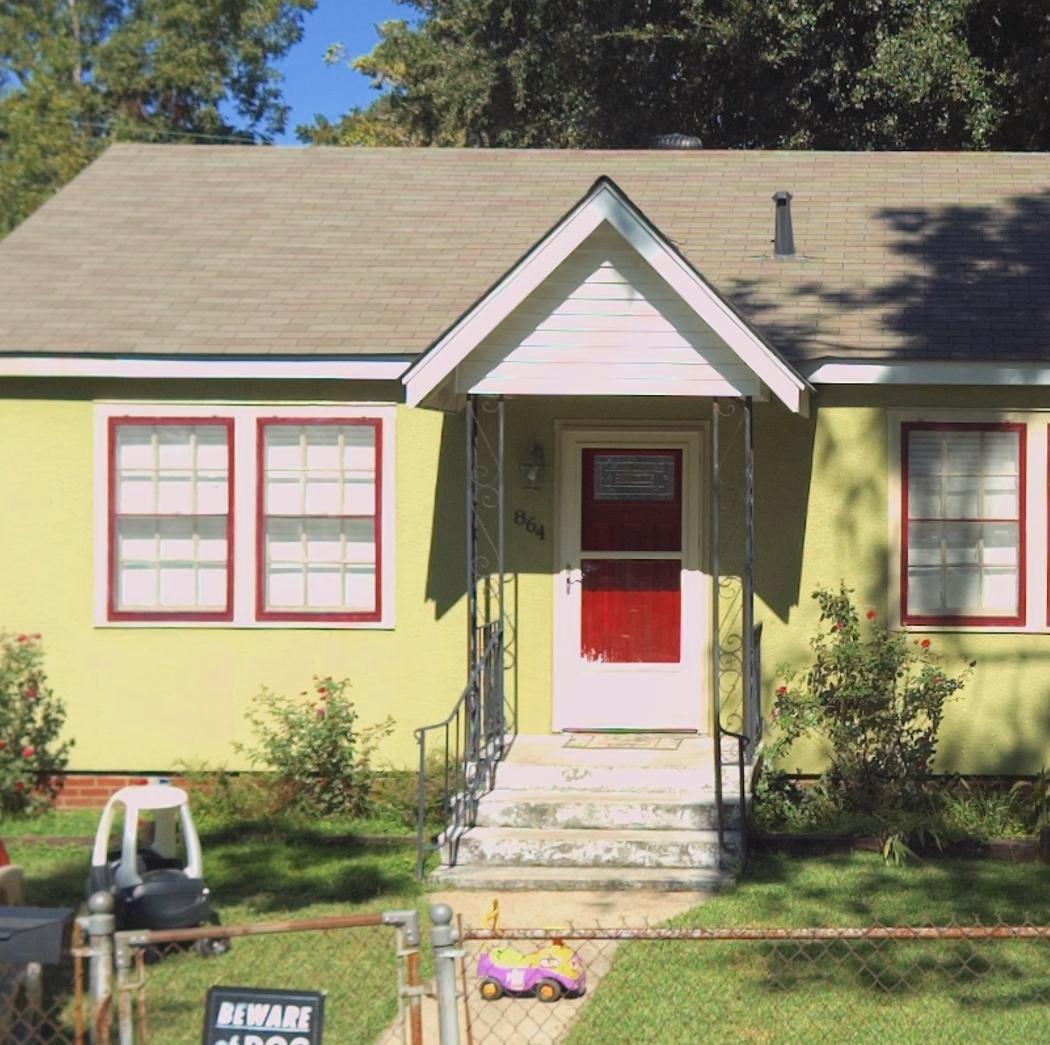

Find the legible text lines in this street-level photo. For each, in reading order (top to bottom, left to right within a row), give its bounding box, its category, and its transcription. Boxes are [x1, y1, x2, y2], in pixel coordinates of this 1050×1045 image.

[513, 508, 547, 541] StreetNumber: 864
[214, 1000, 314, 1030] None: BEWARE